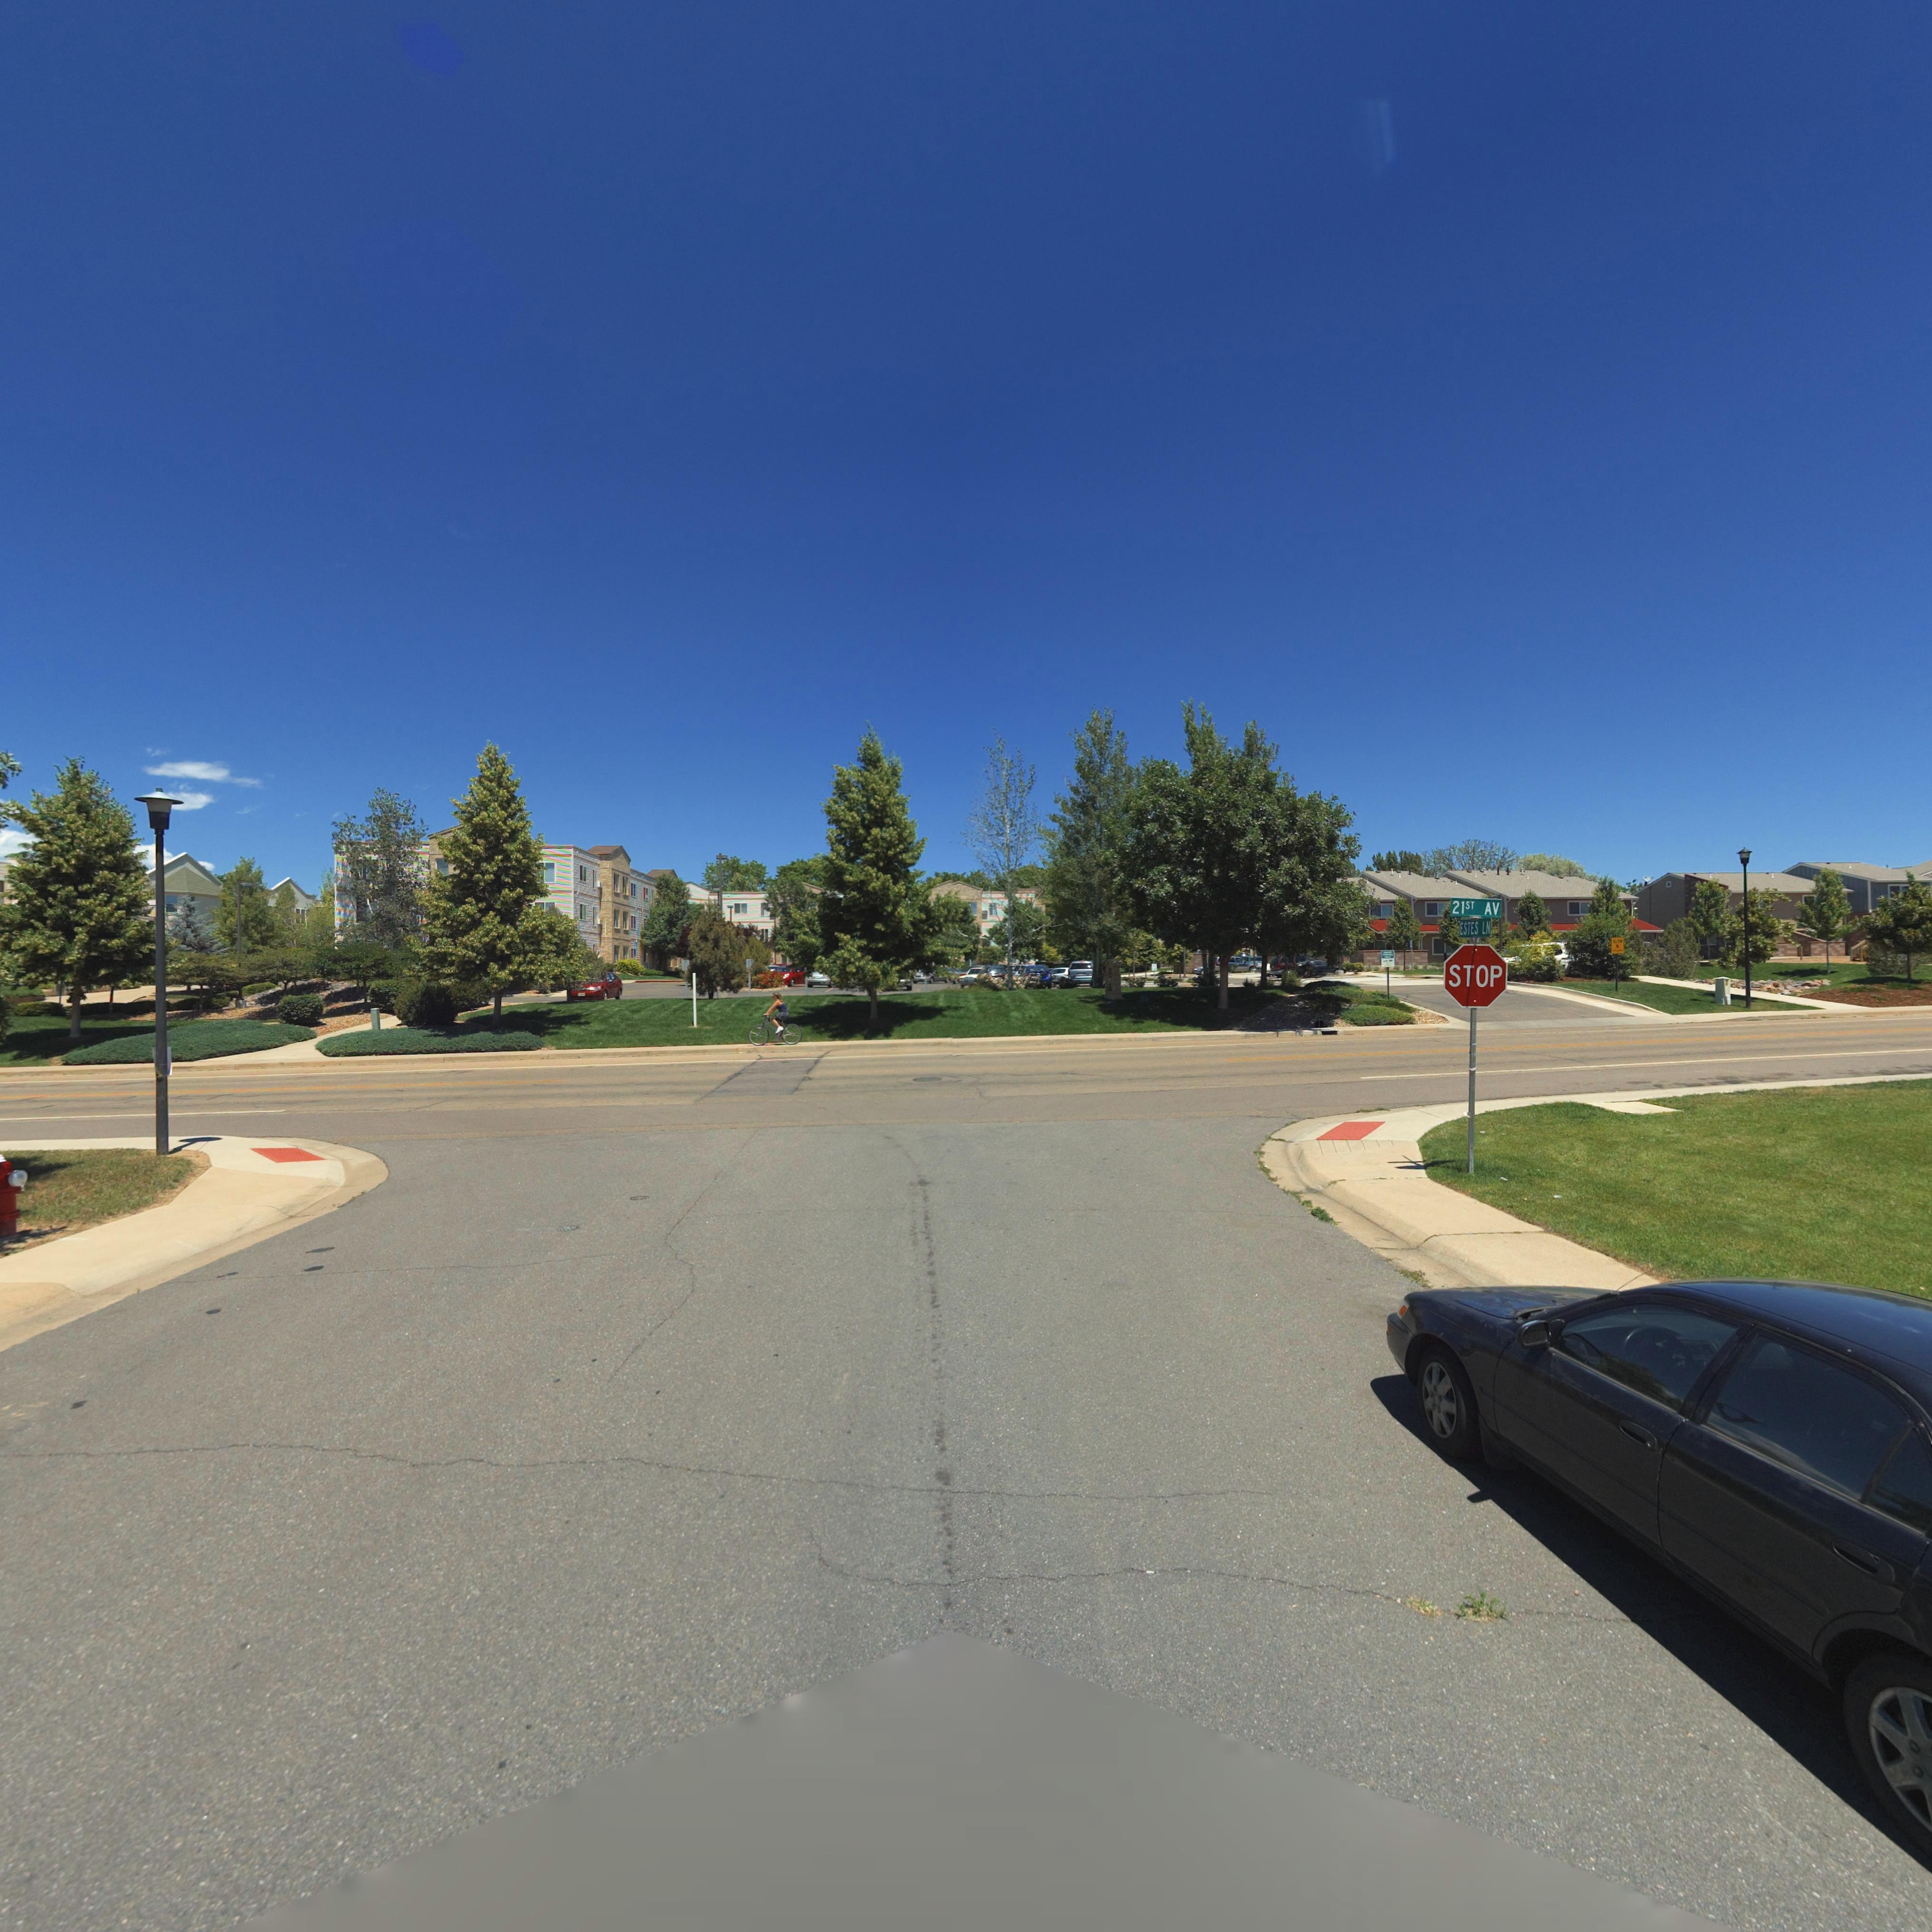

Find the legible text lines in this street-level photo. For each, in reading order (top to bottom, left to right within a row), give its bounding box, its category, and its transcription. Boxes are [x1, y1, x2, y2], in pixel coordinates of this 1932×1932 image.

[1452, 899, 1500, 916] StreetName: 21ST AV
[1459, 920, 1490, 935] StreetName: ESTES LN